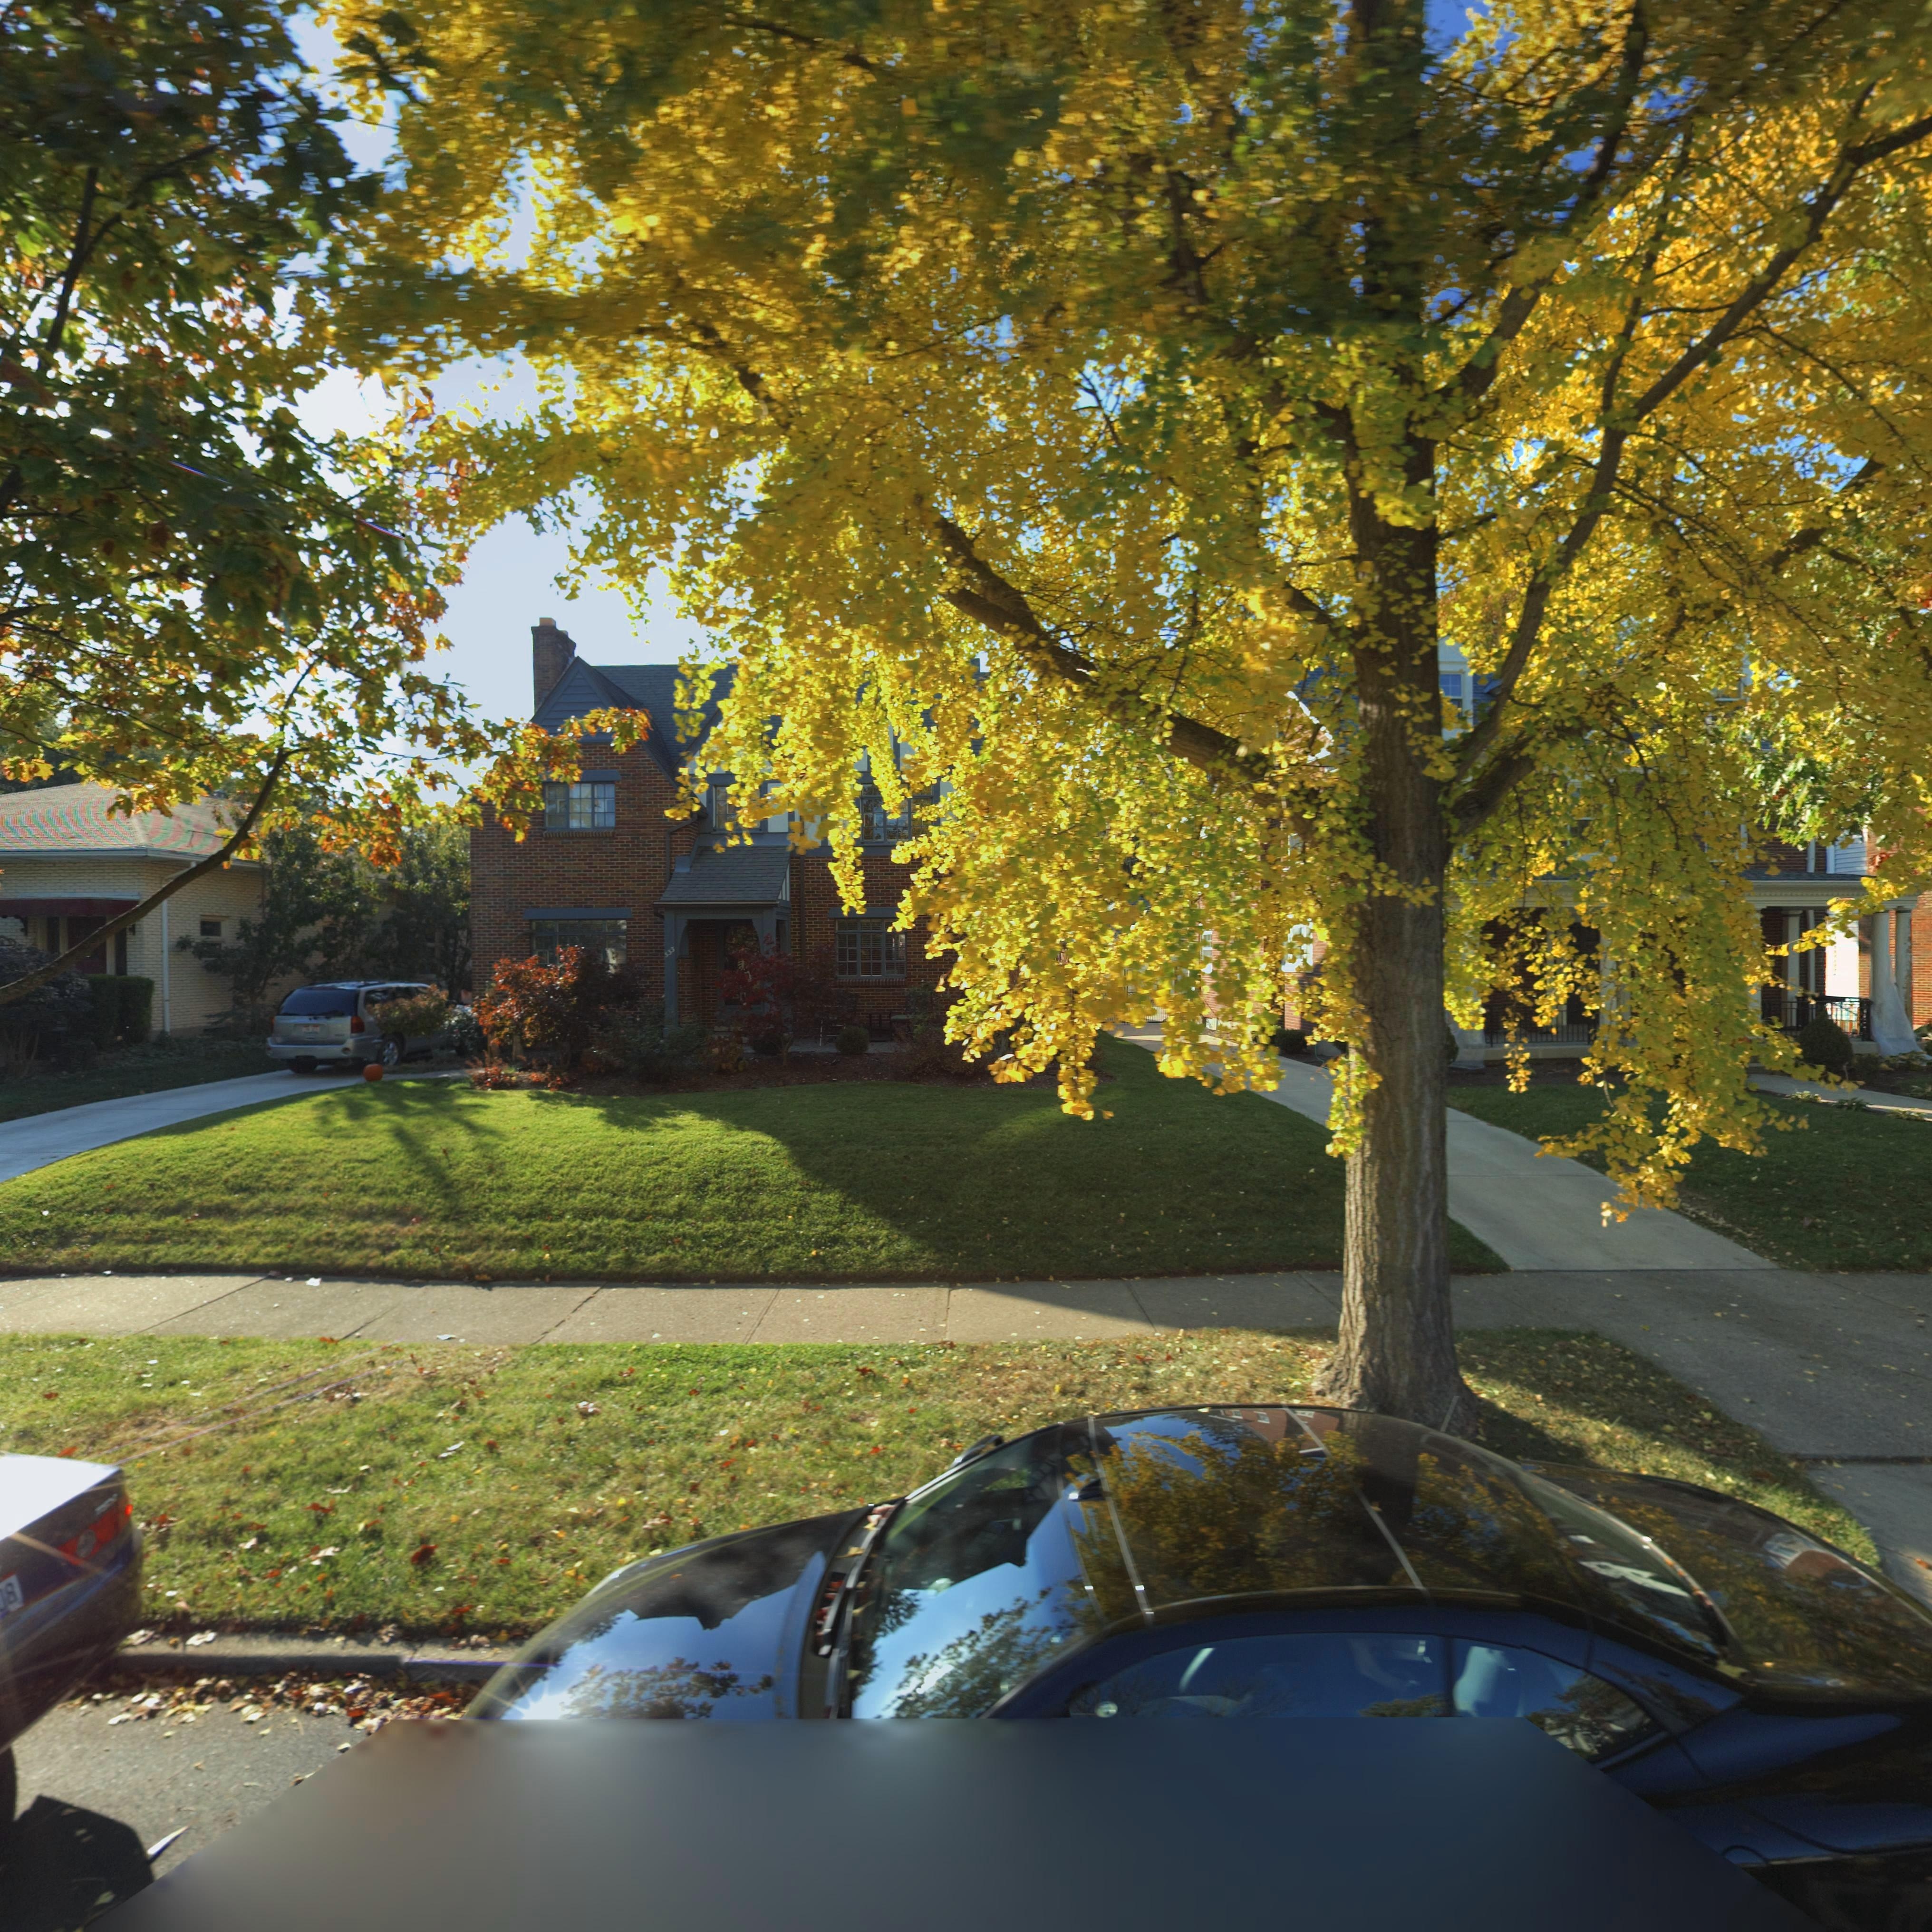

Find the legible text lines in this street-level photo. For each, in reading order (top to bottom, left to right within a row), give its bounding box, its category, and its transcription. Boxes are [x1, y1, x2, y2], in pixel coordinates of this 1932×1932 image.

[664, 946, 676, 958] StreetNumber: 533